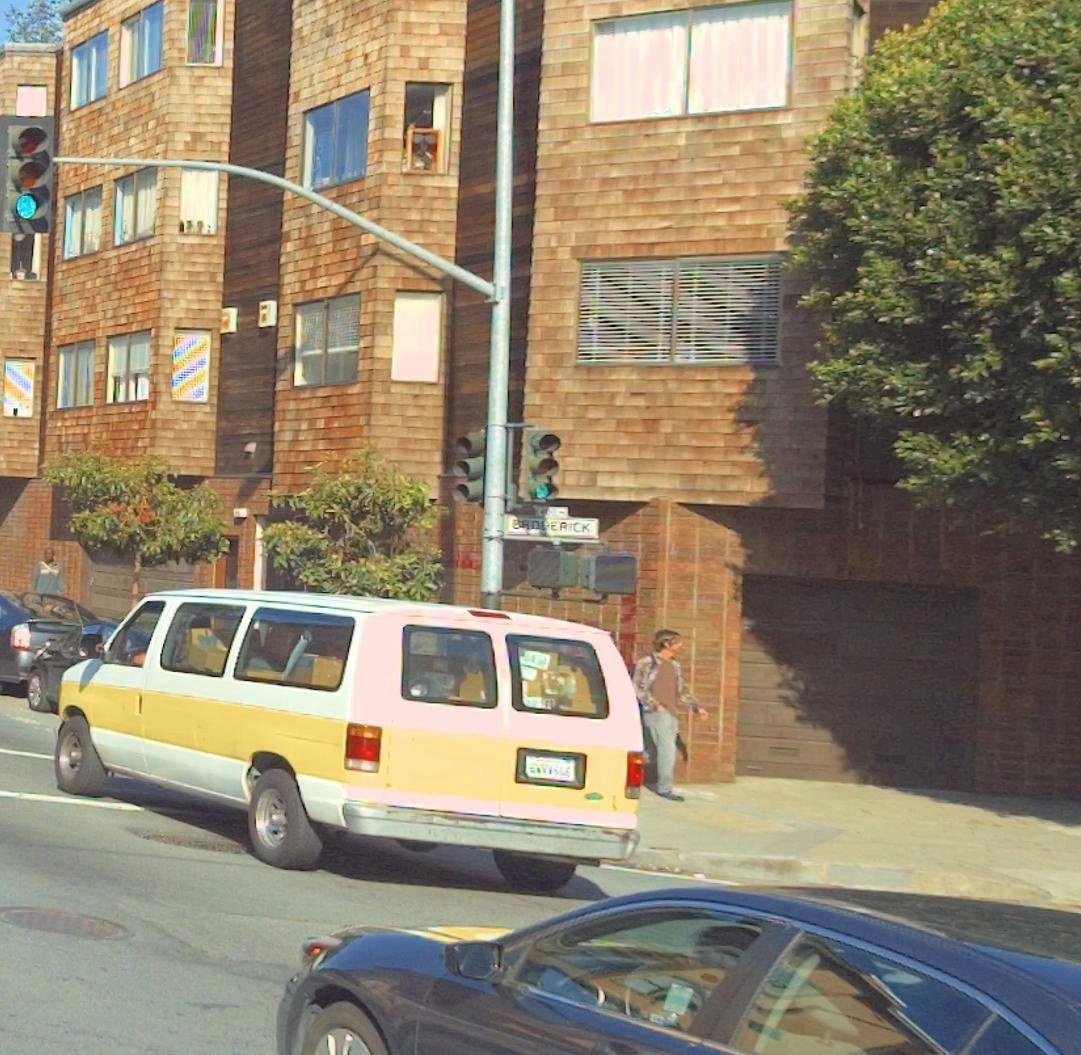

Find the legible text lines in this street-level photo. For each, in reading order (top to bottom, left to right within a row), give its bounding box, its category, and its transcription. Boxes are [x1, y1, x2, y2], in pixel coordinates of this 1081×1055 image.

[538, 507, 567, 517] StreetNumberRange: *00->
[511, 517, 591, 533] StreetName: BRODERICK